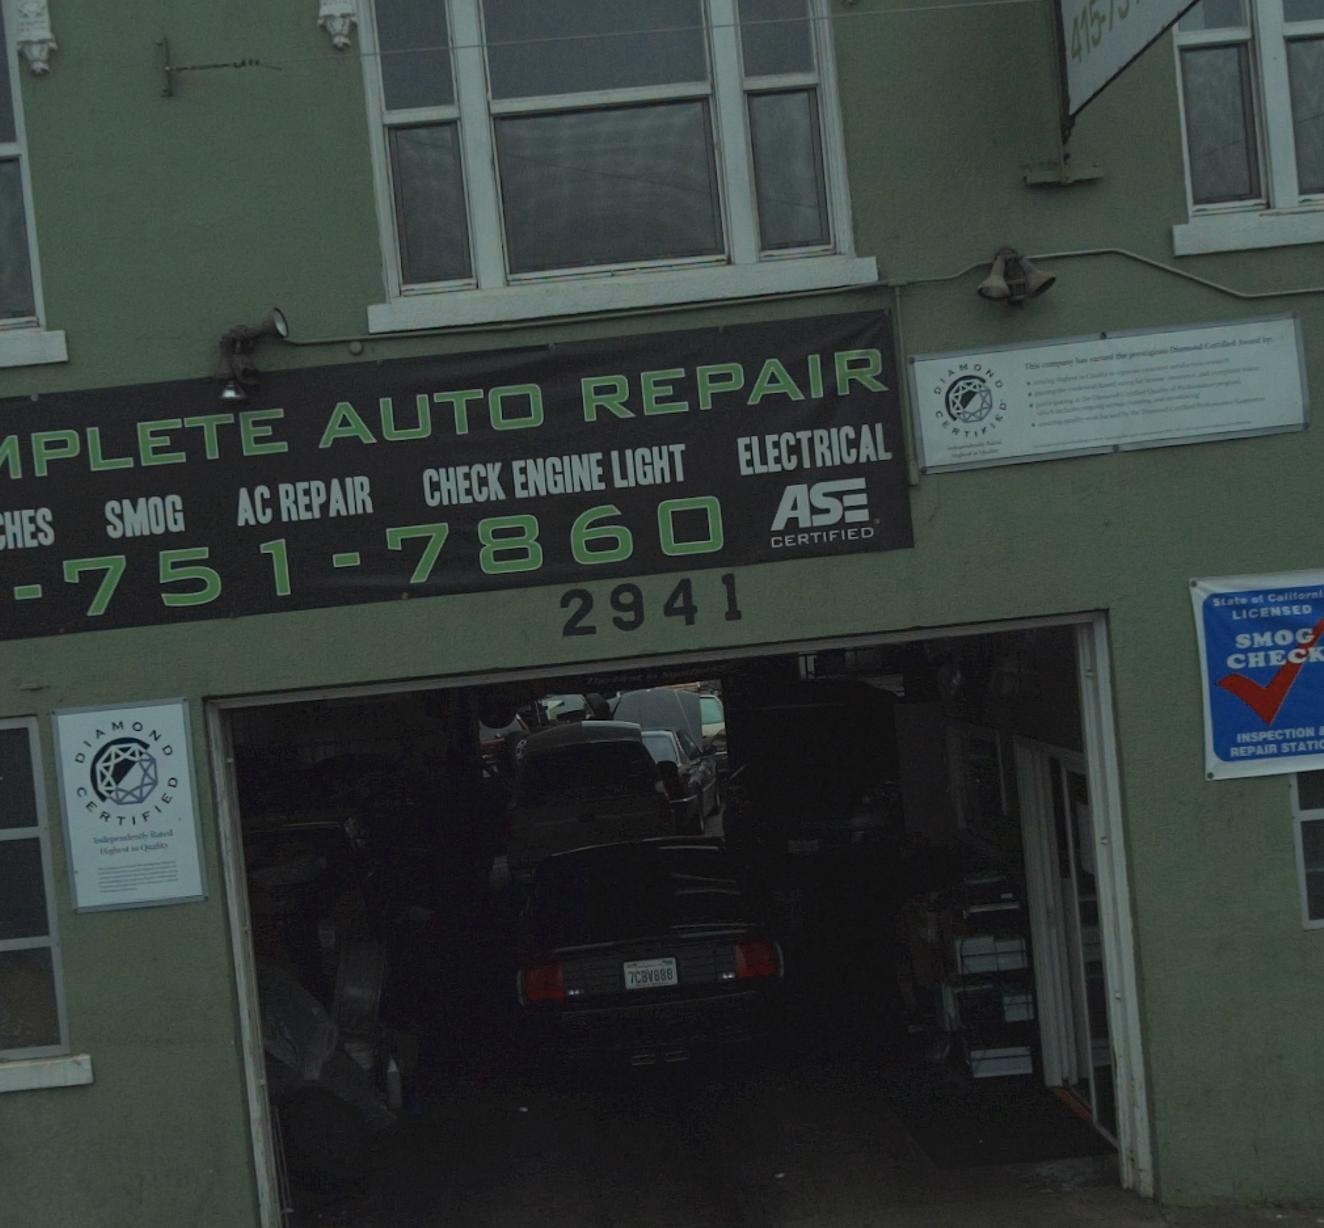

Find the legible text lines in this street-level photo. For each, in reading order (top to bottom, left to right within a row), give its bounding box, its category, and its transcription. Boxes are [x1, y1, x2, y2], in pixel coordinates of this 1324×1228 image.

[1069, 3, 1093, 67] None: 41
[930, 361, 1006, 397] None: DIAMOND
[26, 342, 893, 482] BusinessName: PLETE AUTO REPAIR
[932, 401, 1009, 439] None: CERTIFIED
[2, 421, 895, 552] None: HES SMOG ACREPAIR CHECK ENGINE LIGHT ELECTRICAL
[767, 478, 844, 533] None: AS
[56, 490, 728, 619] None: 751-7860
[769, 524, 878, 550] None: CERTIFIED
[552, 568, 746, 640] StreetNumber: 2941
[1211, 588, 1320, 609] None: State of Californ
[1229, 602, 1315, 622] None: LICENSED
[1232, 626, 1317, 651] None: SMOG
[1223, 644, 1324, 671] None: CHECK
[70, 717, 175, 766] None: DIAMOND
[1229, 742, 1279, 759] None: REPAIR
[1236, 725, 1315, 745] None: INSPECTION
[1280, 738, 1321, 754] None: STATI
[74, 775, 182, 829] None: CERTIFIED
[626, 966, 673, 986] None: 7CBV888